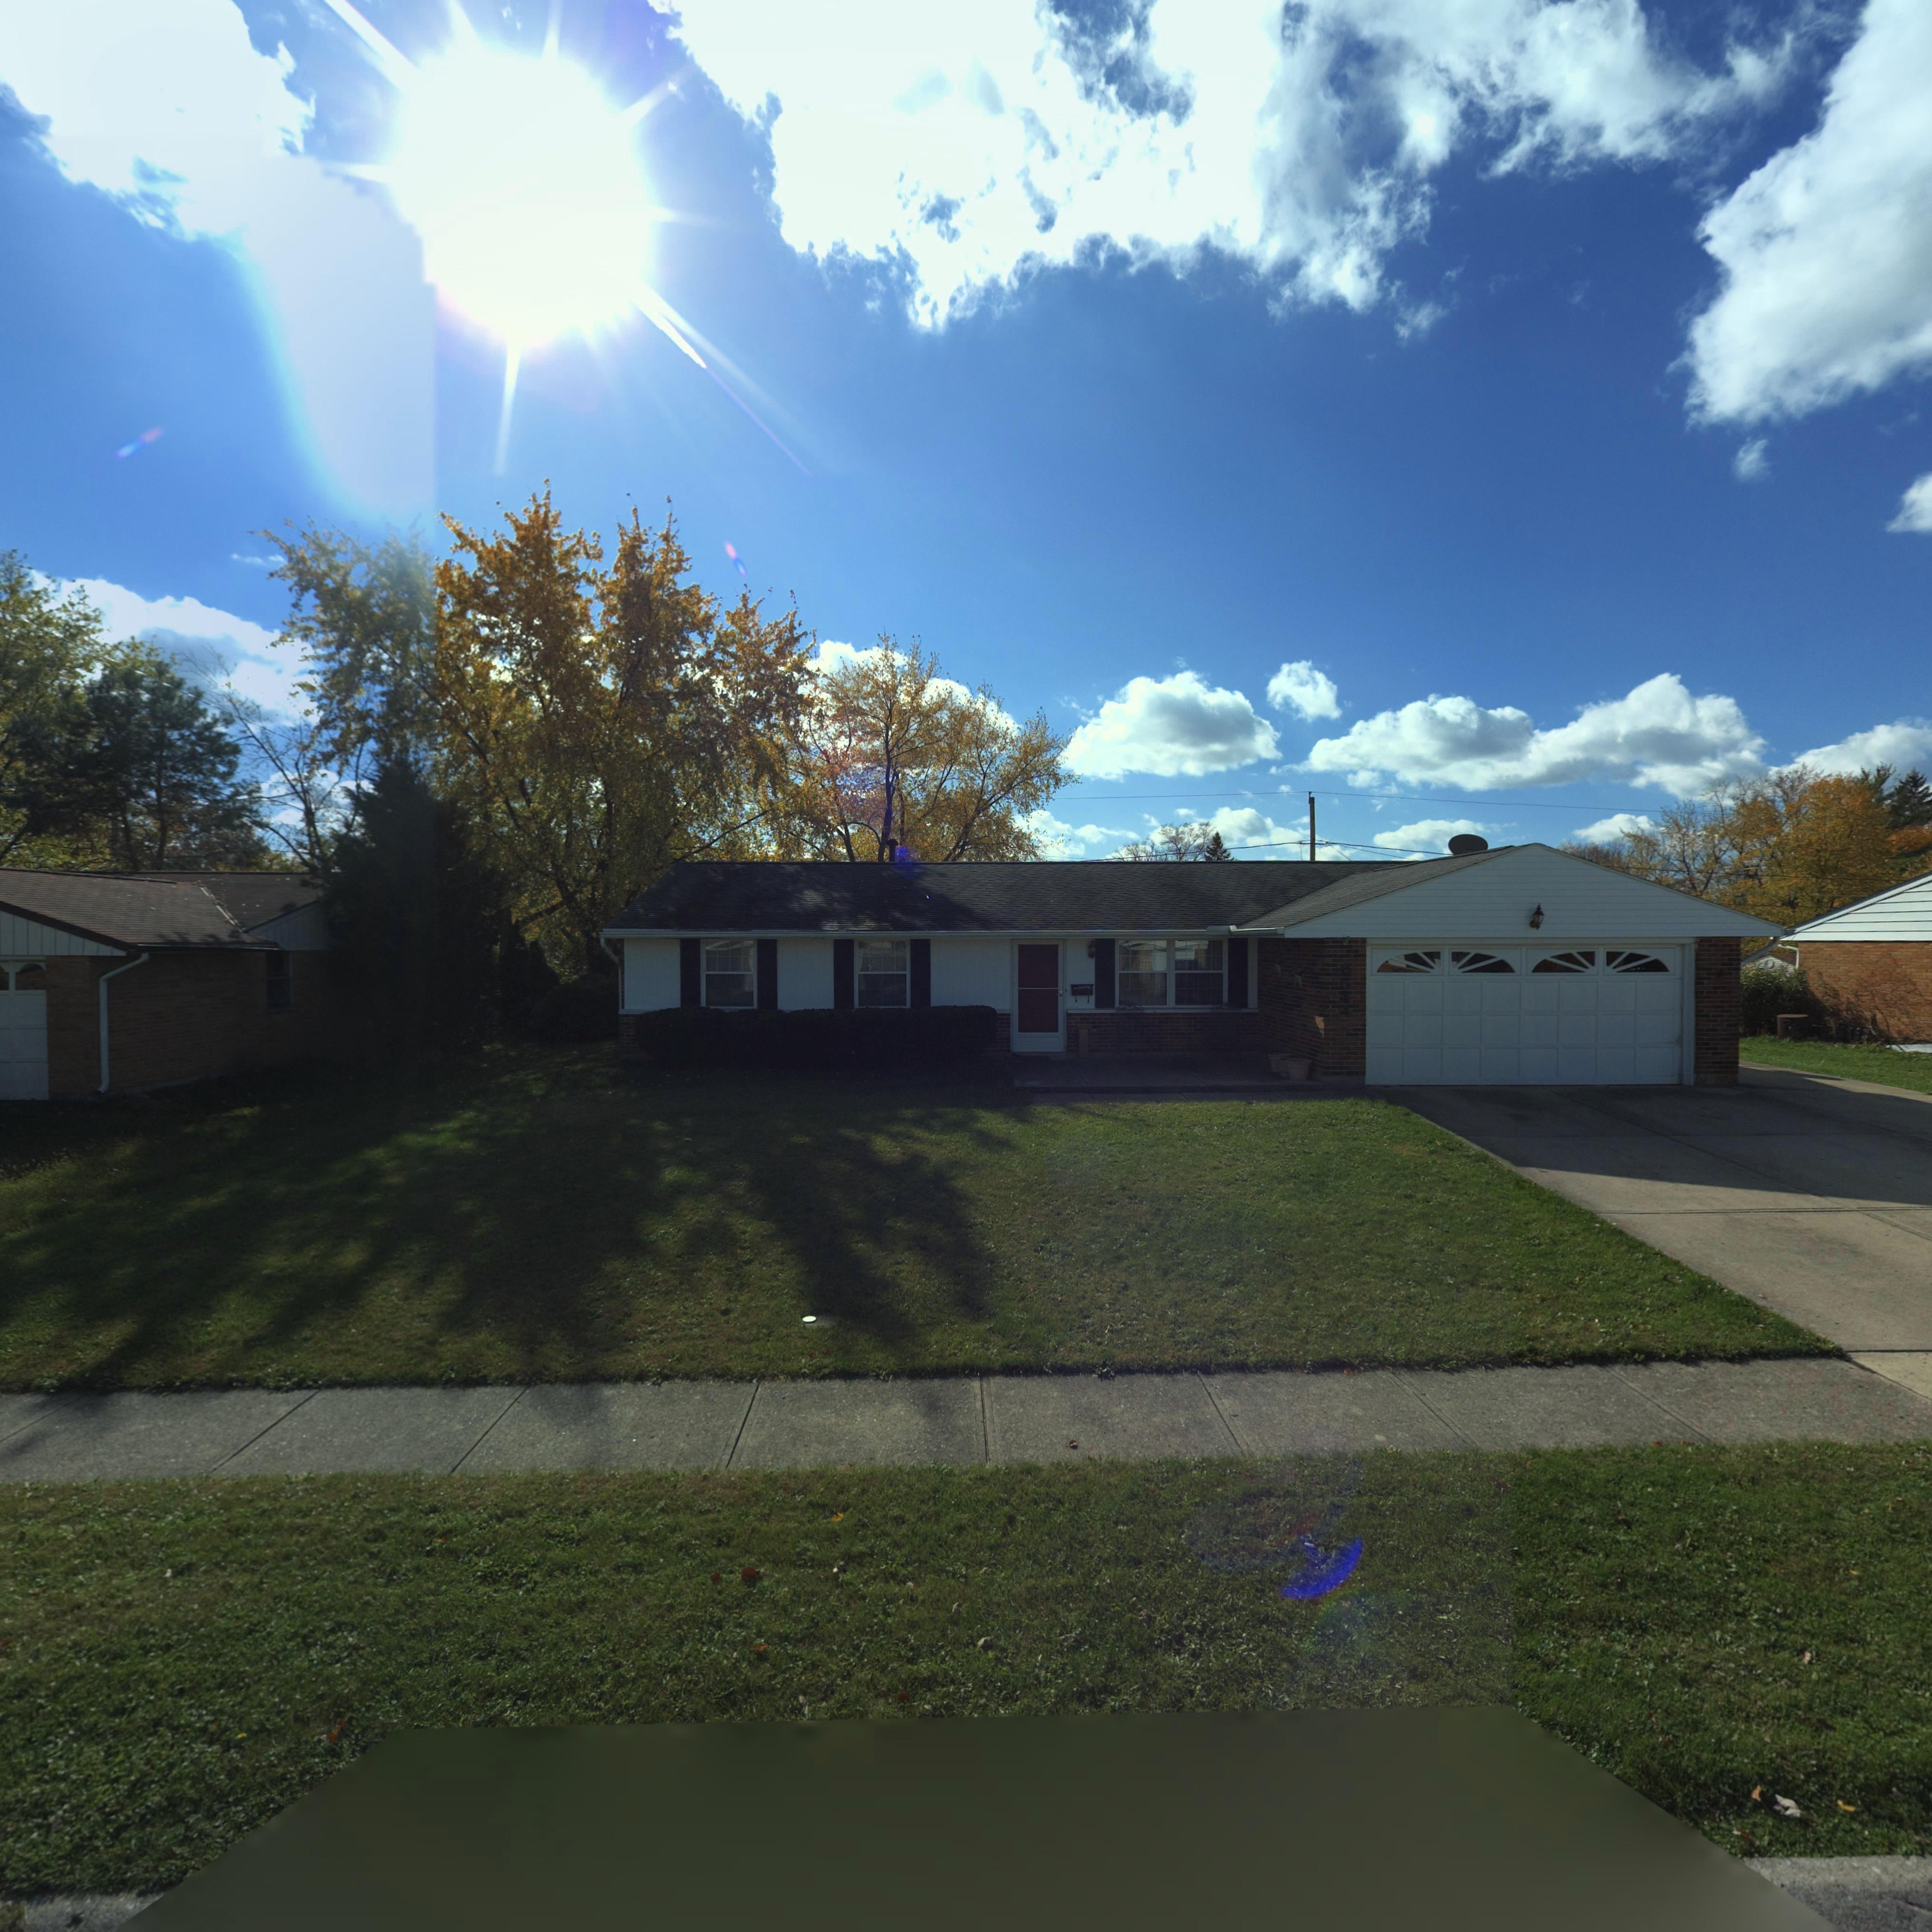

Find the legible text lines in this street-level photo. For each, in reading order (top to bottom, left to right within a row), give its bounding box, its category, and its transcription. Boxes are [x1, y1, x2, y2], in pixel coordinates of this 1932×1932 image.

[1339, 962, 1352, 1018] StreetNumber: 6544